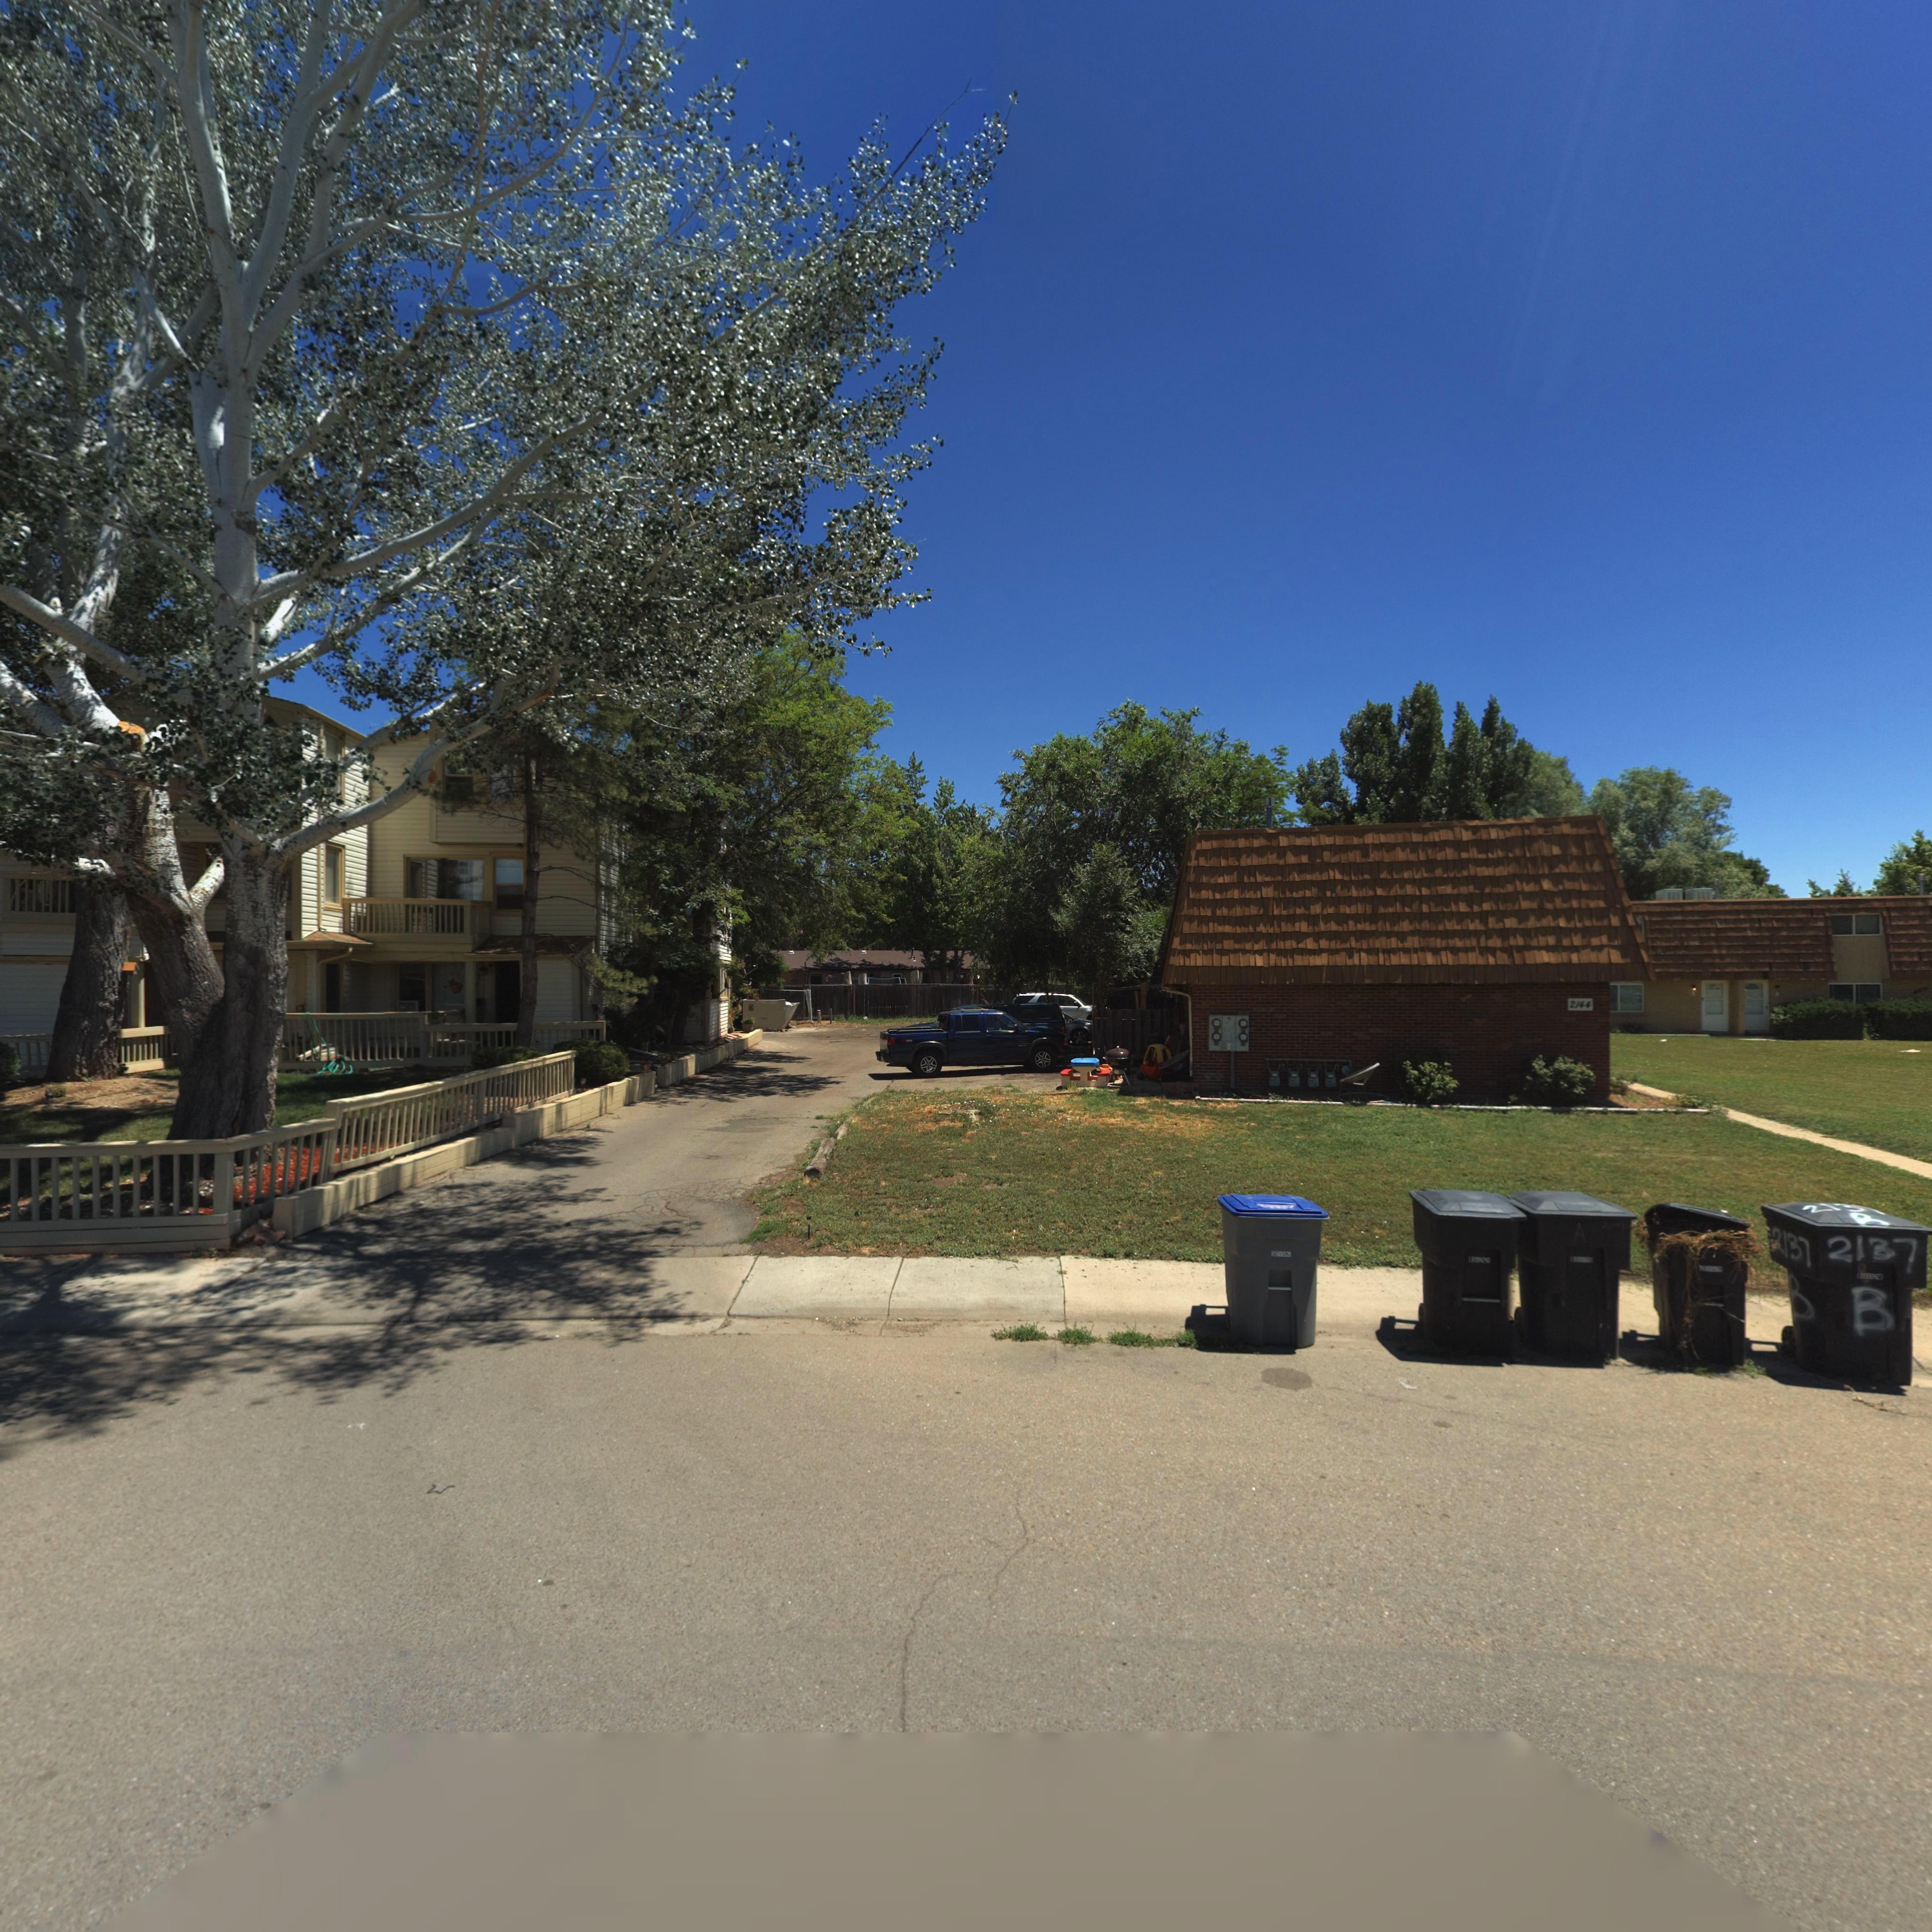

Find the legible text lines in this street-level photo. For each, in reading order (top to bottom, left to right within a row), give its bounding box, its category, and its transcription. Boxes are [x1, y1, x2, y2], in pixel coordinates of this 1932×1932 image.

[1569, 1000, 1591, 1008] StreetNumber: 2144
[1801, 1203, 1864, 1214] StreetNumber: 213
[1772, 1226, 1810, 1268] StreetNumber: *137
[1827, 1235, 1918, 1265] StreetNumber: 2137